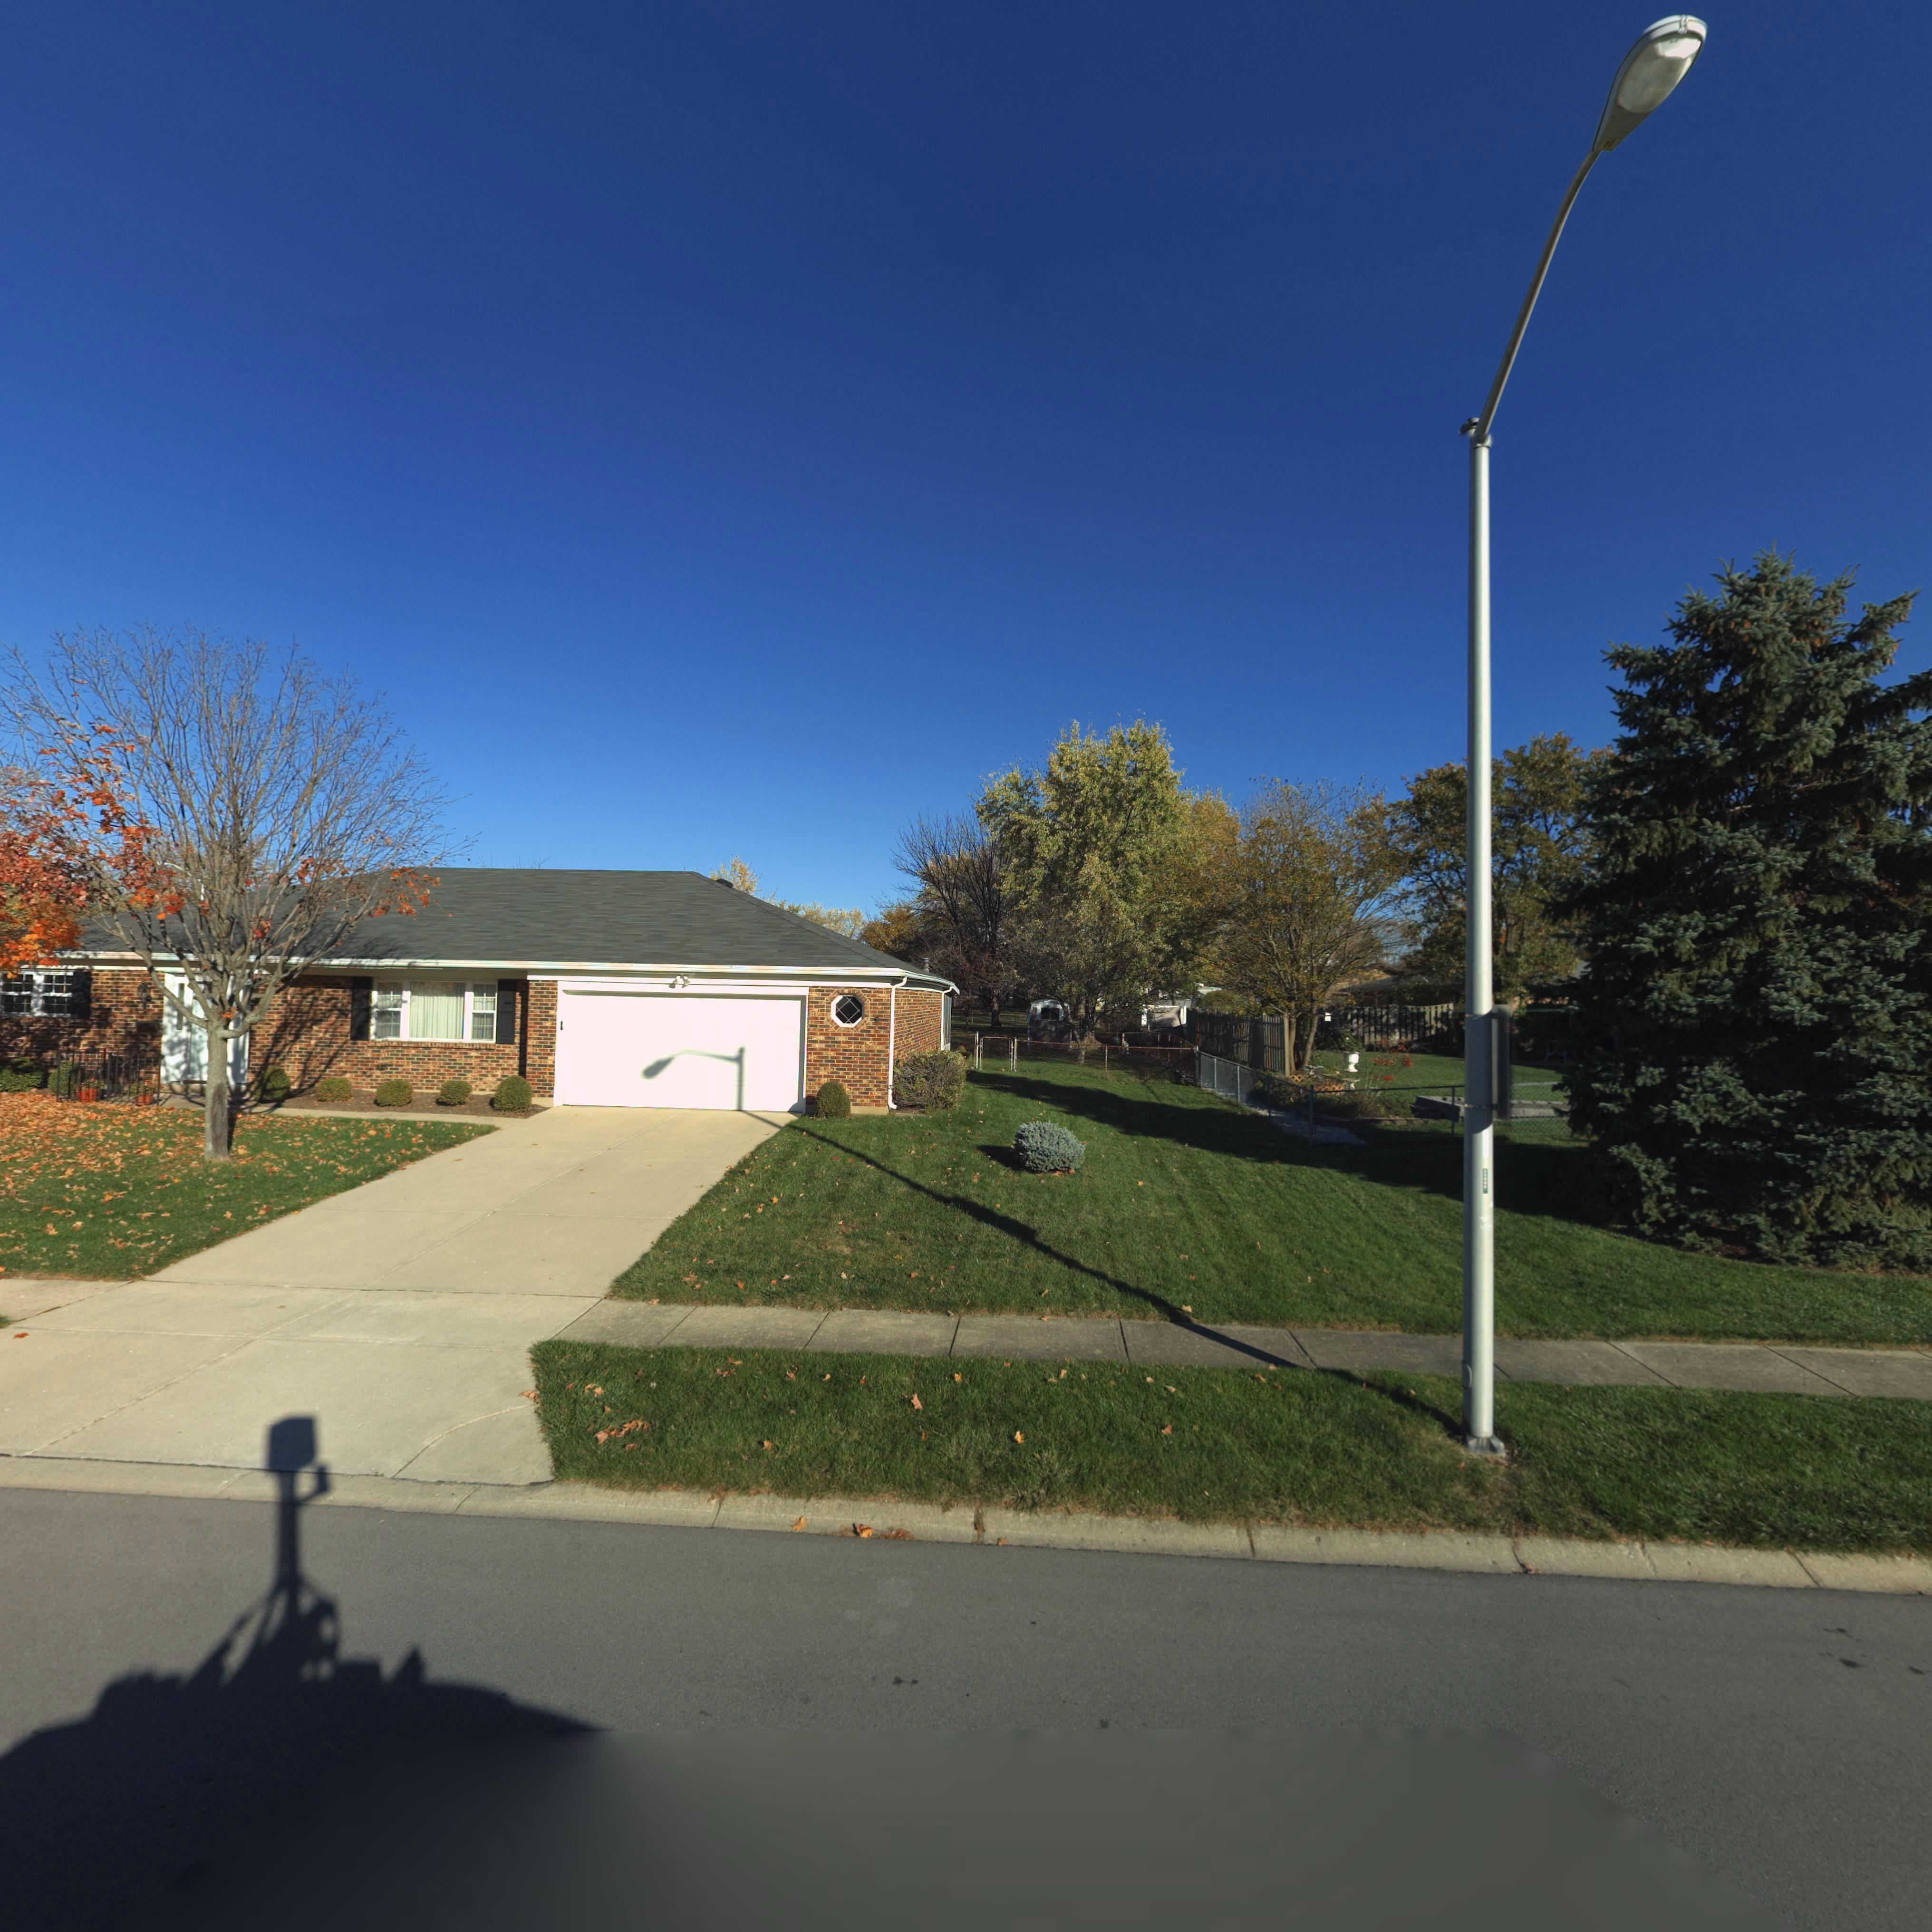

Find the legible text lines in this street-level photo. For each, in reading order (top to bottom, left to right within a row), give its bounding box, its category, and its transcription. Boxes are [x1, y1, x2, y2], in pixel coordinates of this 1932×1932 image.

[198, 963, 203, 971] StreetNumber: 7